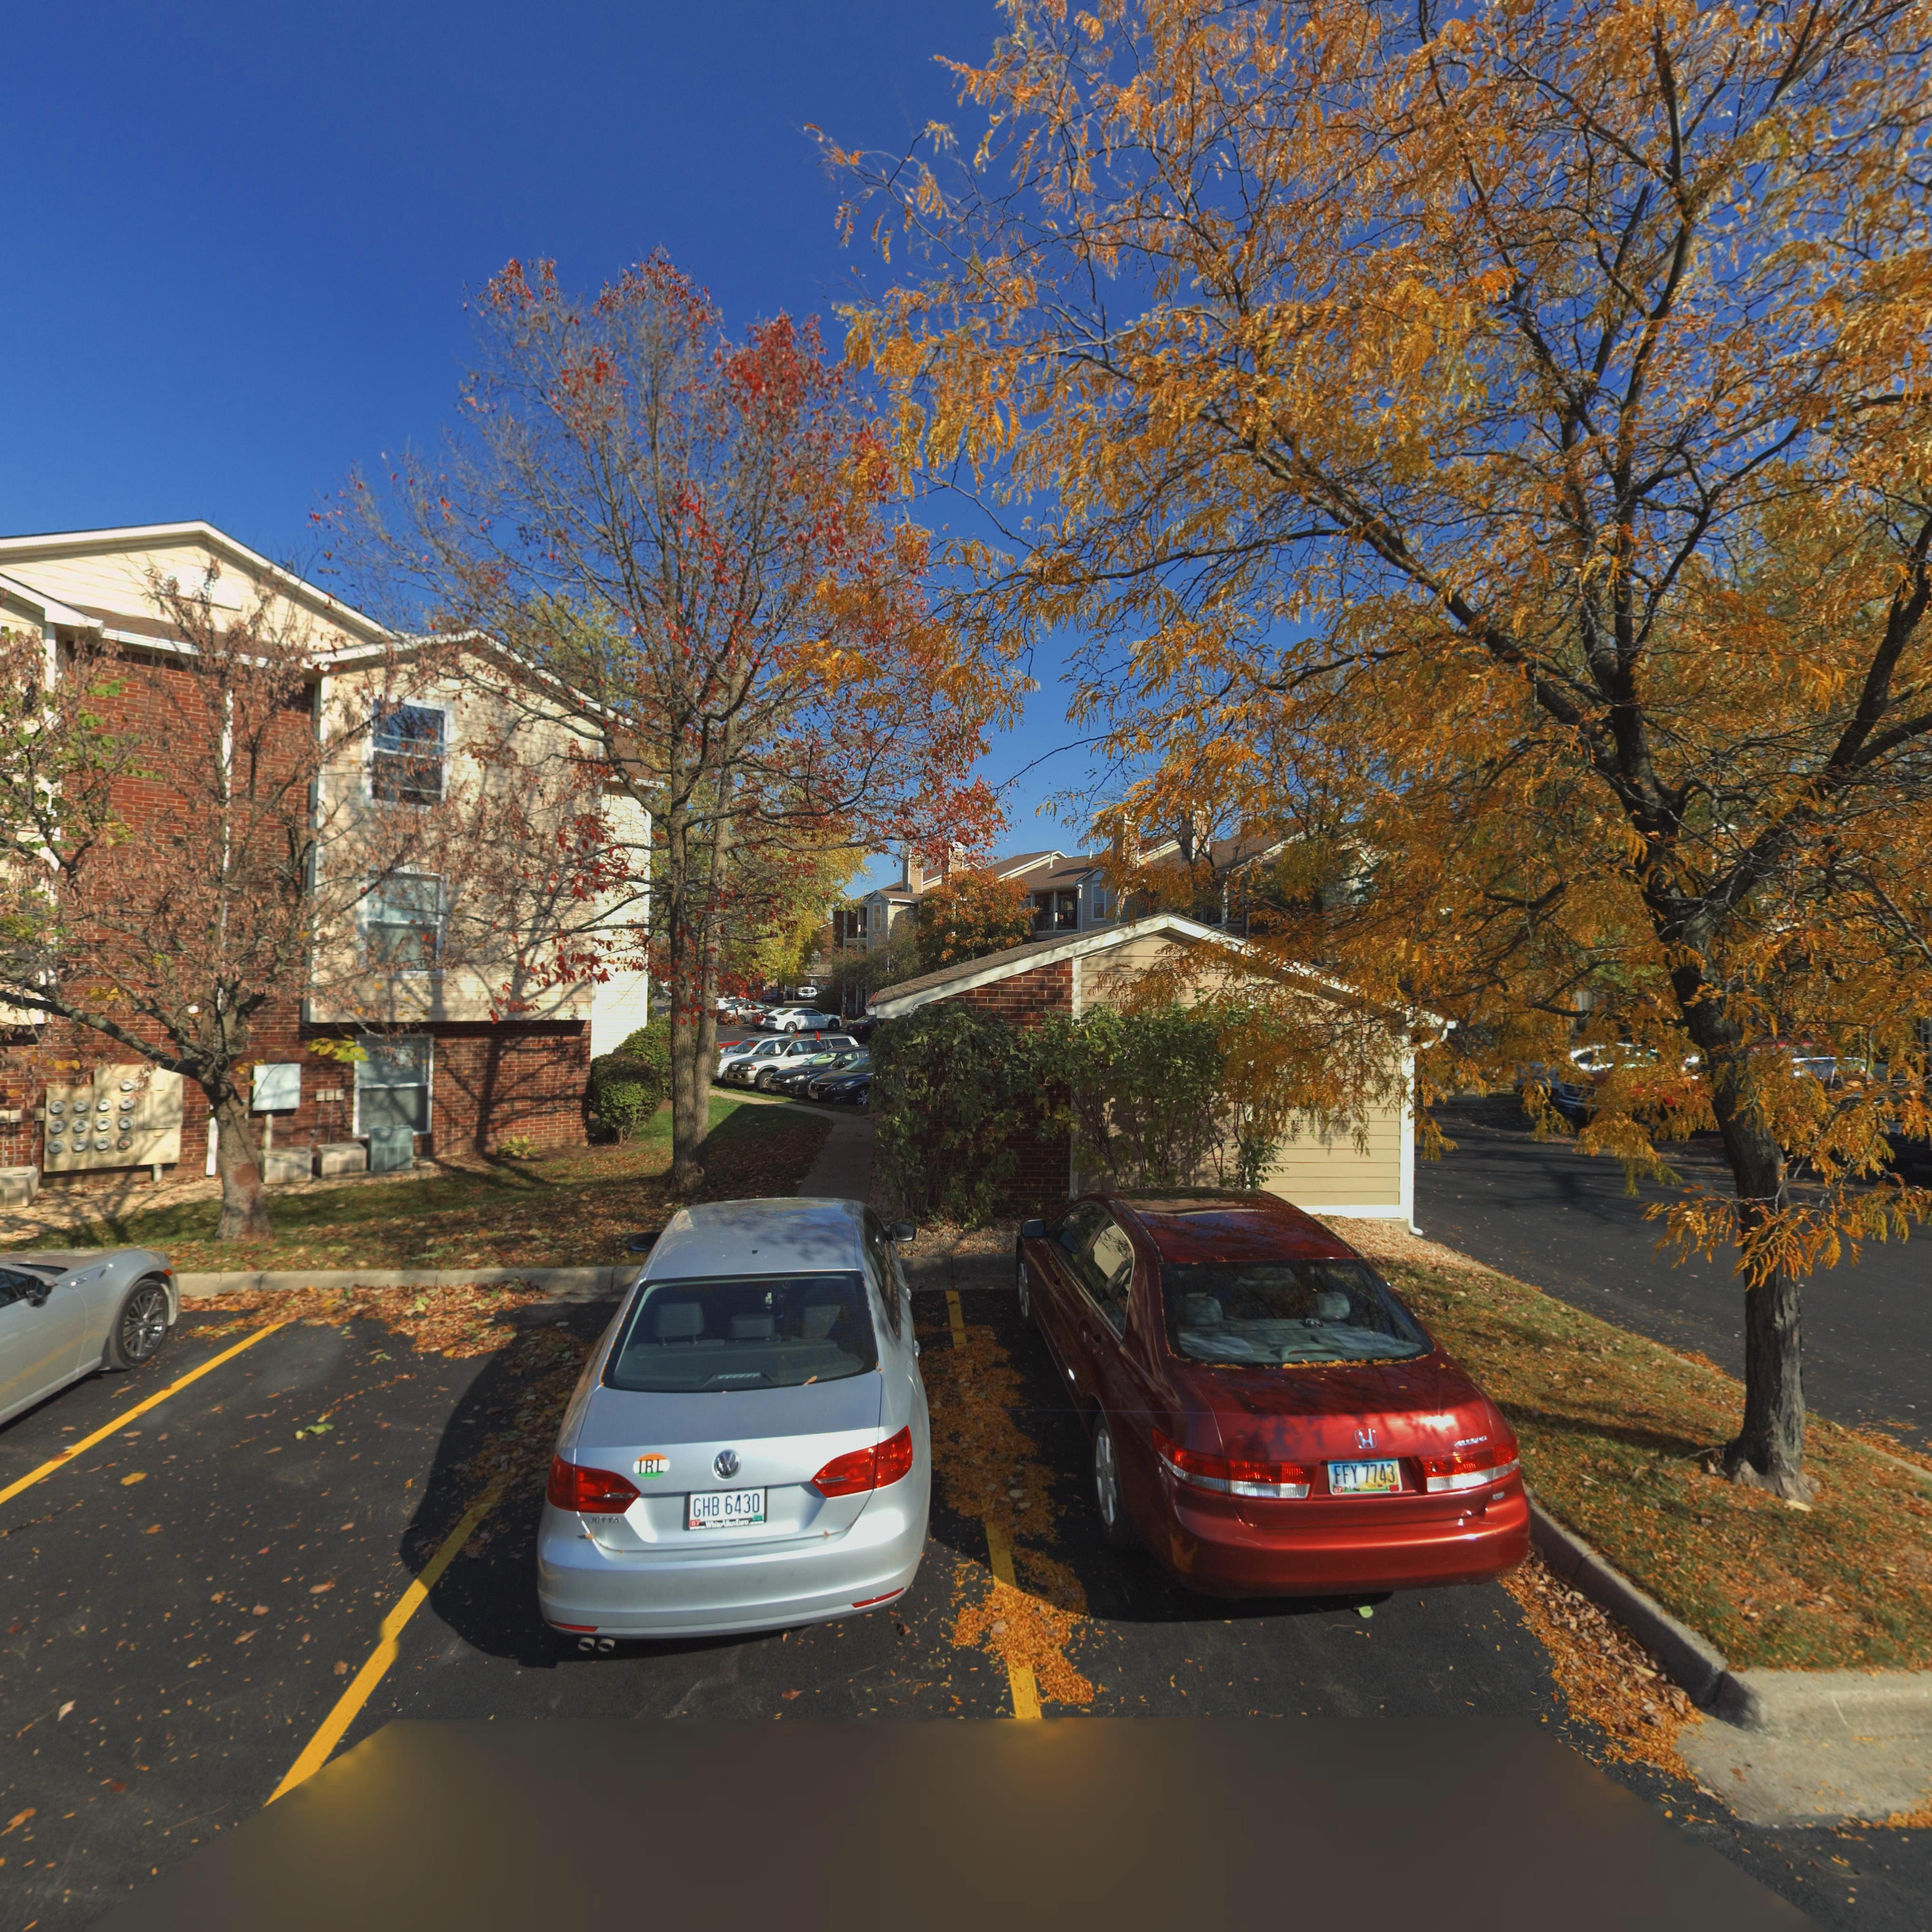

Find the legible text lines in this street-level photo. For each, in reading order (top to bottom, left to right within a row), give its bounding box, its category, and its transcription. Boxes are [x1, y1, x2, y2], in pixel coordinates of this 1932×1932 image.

[638, 1458, 665, 1475] None: IRL
[1333, 1462, 1397, 1486] None: FFY 7743
[692, 1492, 761, 1519] None: GHB 6430
[587, 1516, 622, 1526] None: J*TT*